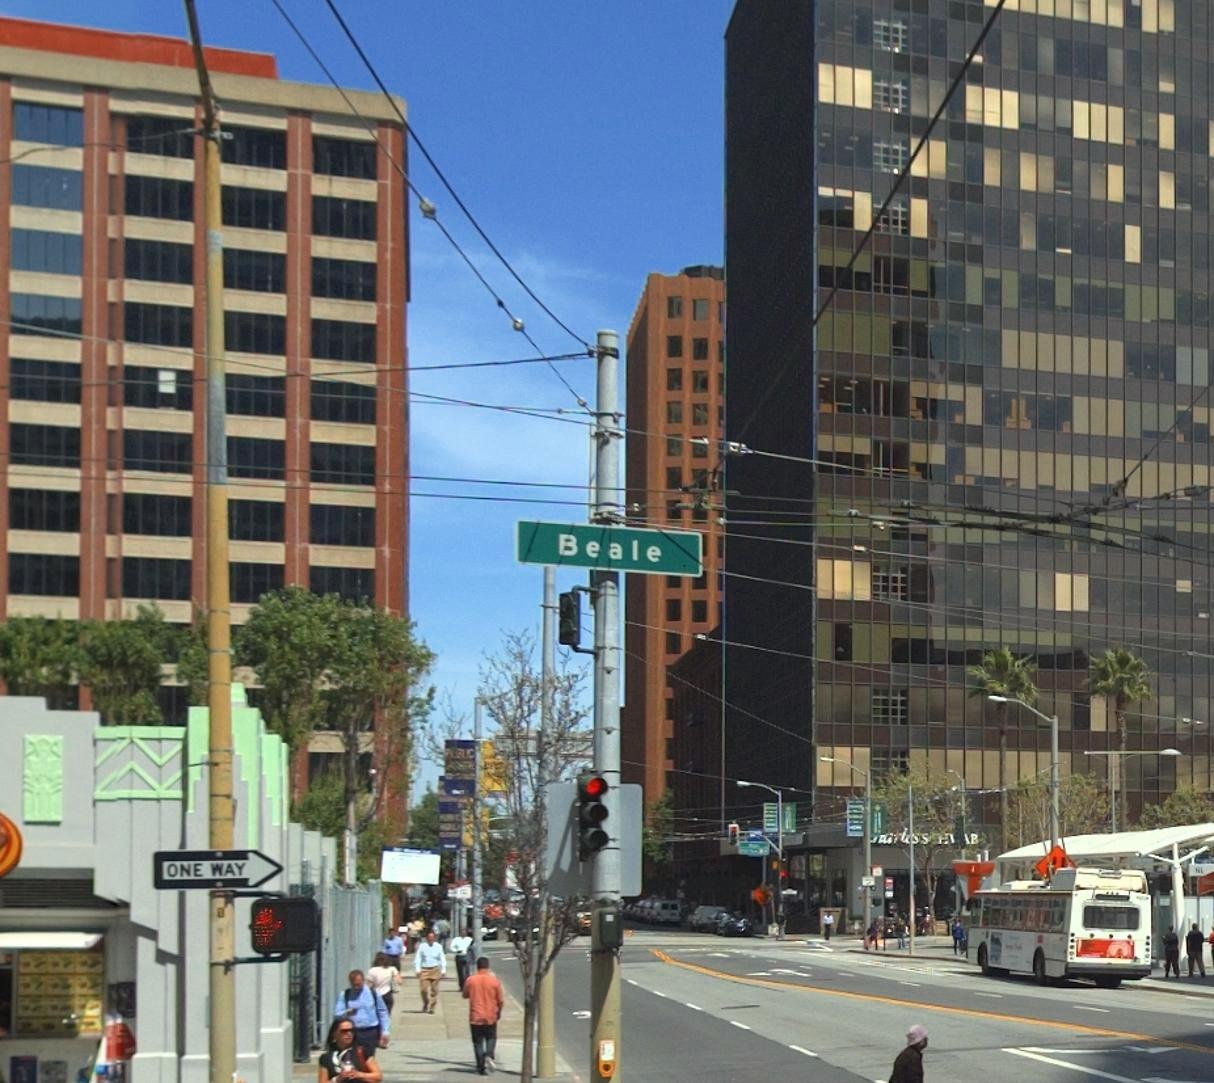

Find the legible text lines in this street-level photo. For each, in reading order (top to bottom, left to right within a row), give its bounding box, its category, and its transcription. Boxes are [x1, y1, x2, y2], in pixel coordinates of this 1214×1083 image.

[556, 530, 663, 566] StreetName: Beale
[165, 860, 246, 879] None: ONE WAY